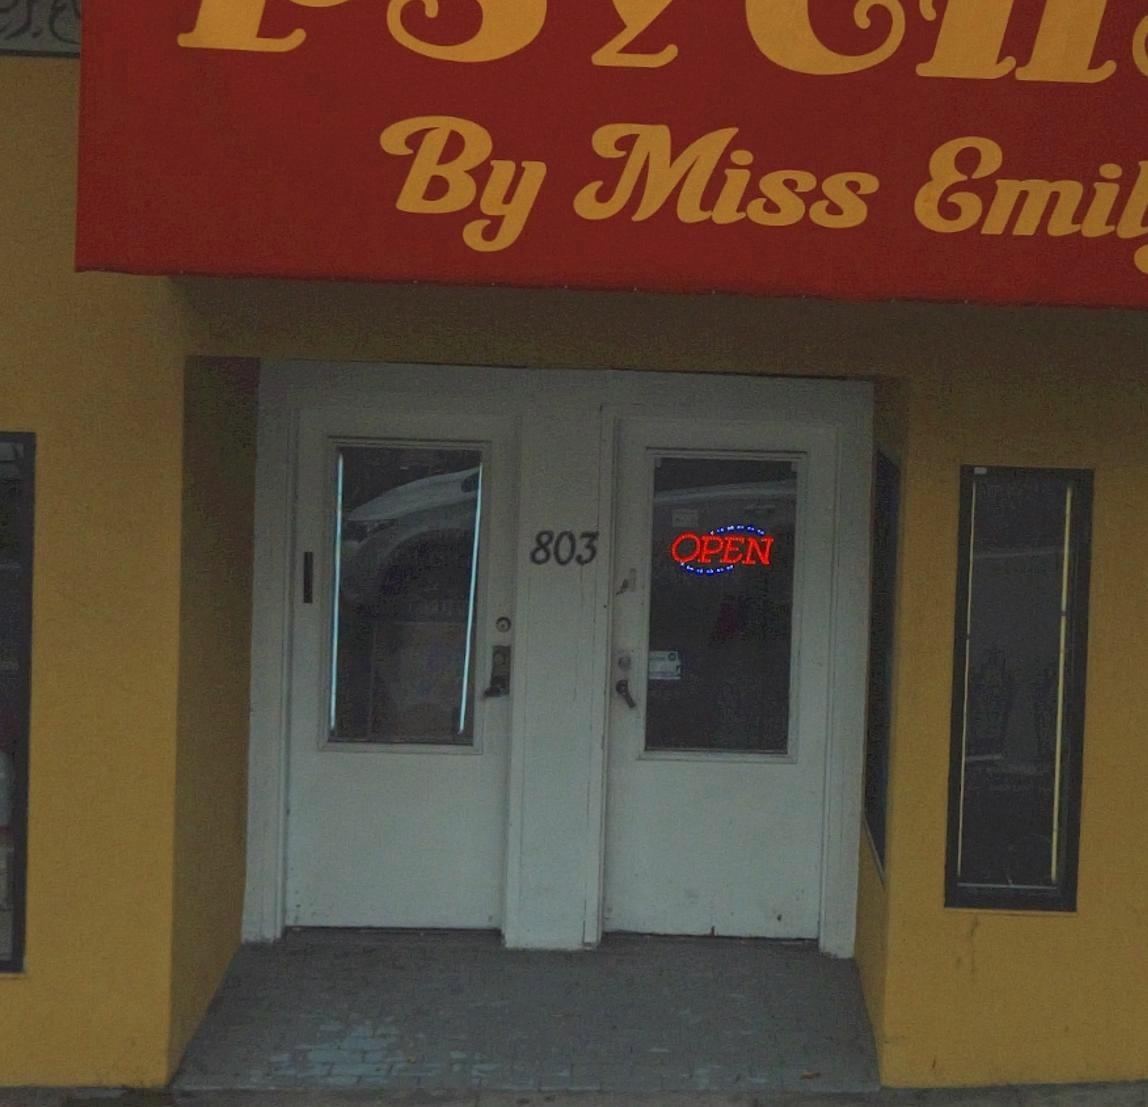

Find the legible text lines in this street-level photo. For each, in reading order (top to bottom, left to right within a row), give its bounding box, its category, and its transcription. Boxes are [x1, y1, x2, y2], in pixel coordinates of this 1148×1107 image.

[391, 114, 1126, 256] None: By Miss Emi
[527, 529, 602, 568] StreetNumber: 803
[669, 531, 774, 566] None: OPEN